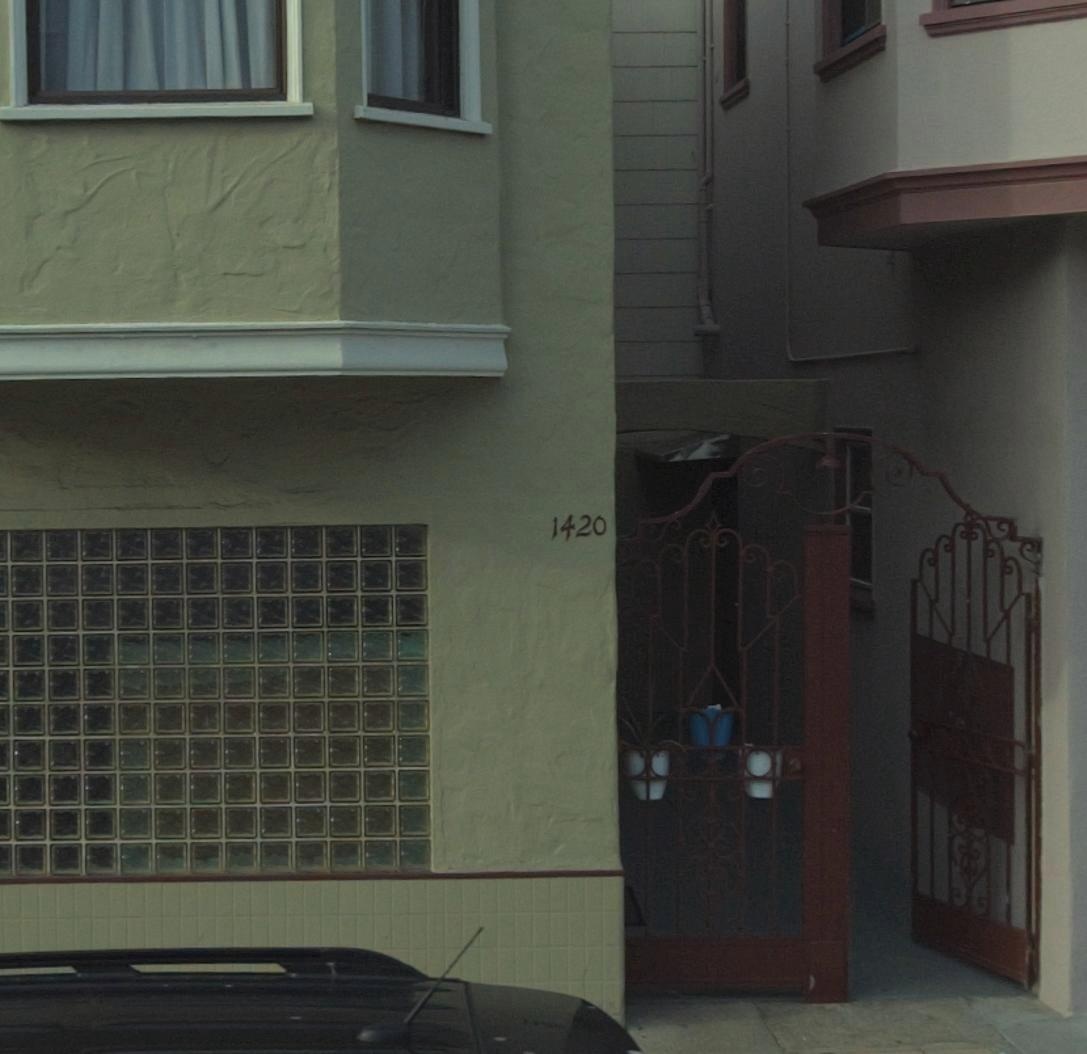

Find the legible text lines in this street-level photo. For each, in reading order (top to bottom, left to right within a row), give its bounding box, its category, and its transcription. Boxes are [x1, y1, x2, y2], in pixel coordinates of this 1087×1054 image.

[550, 509, 609, 544] StreetNumber: 1420